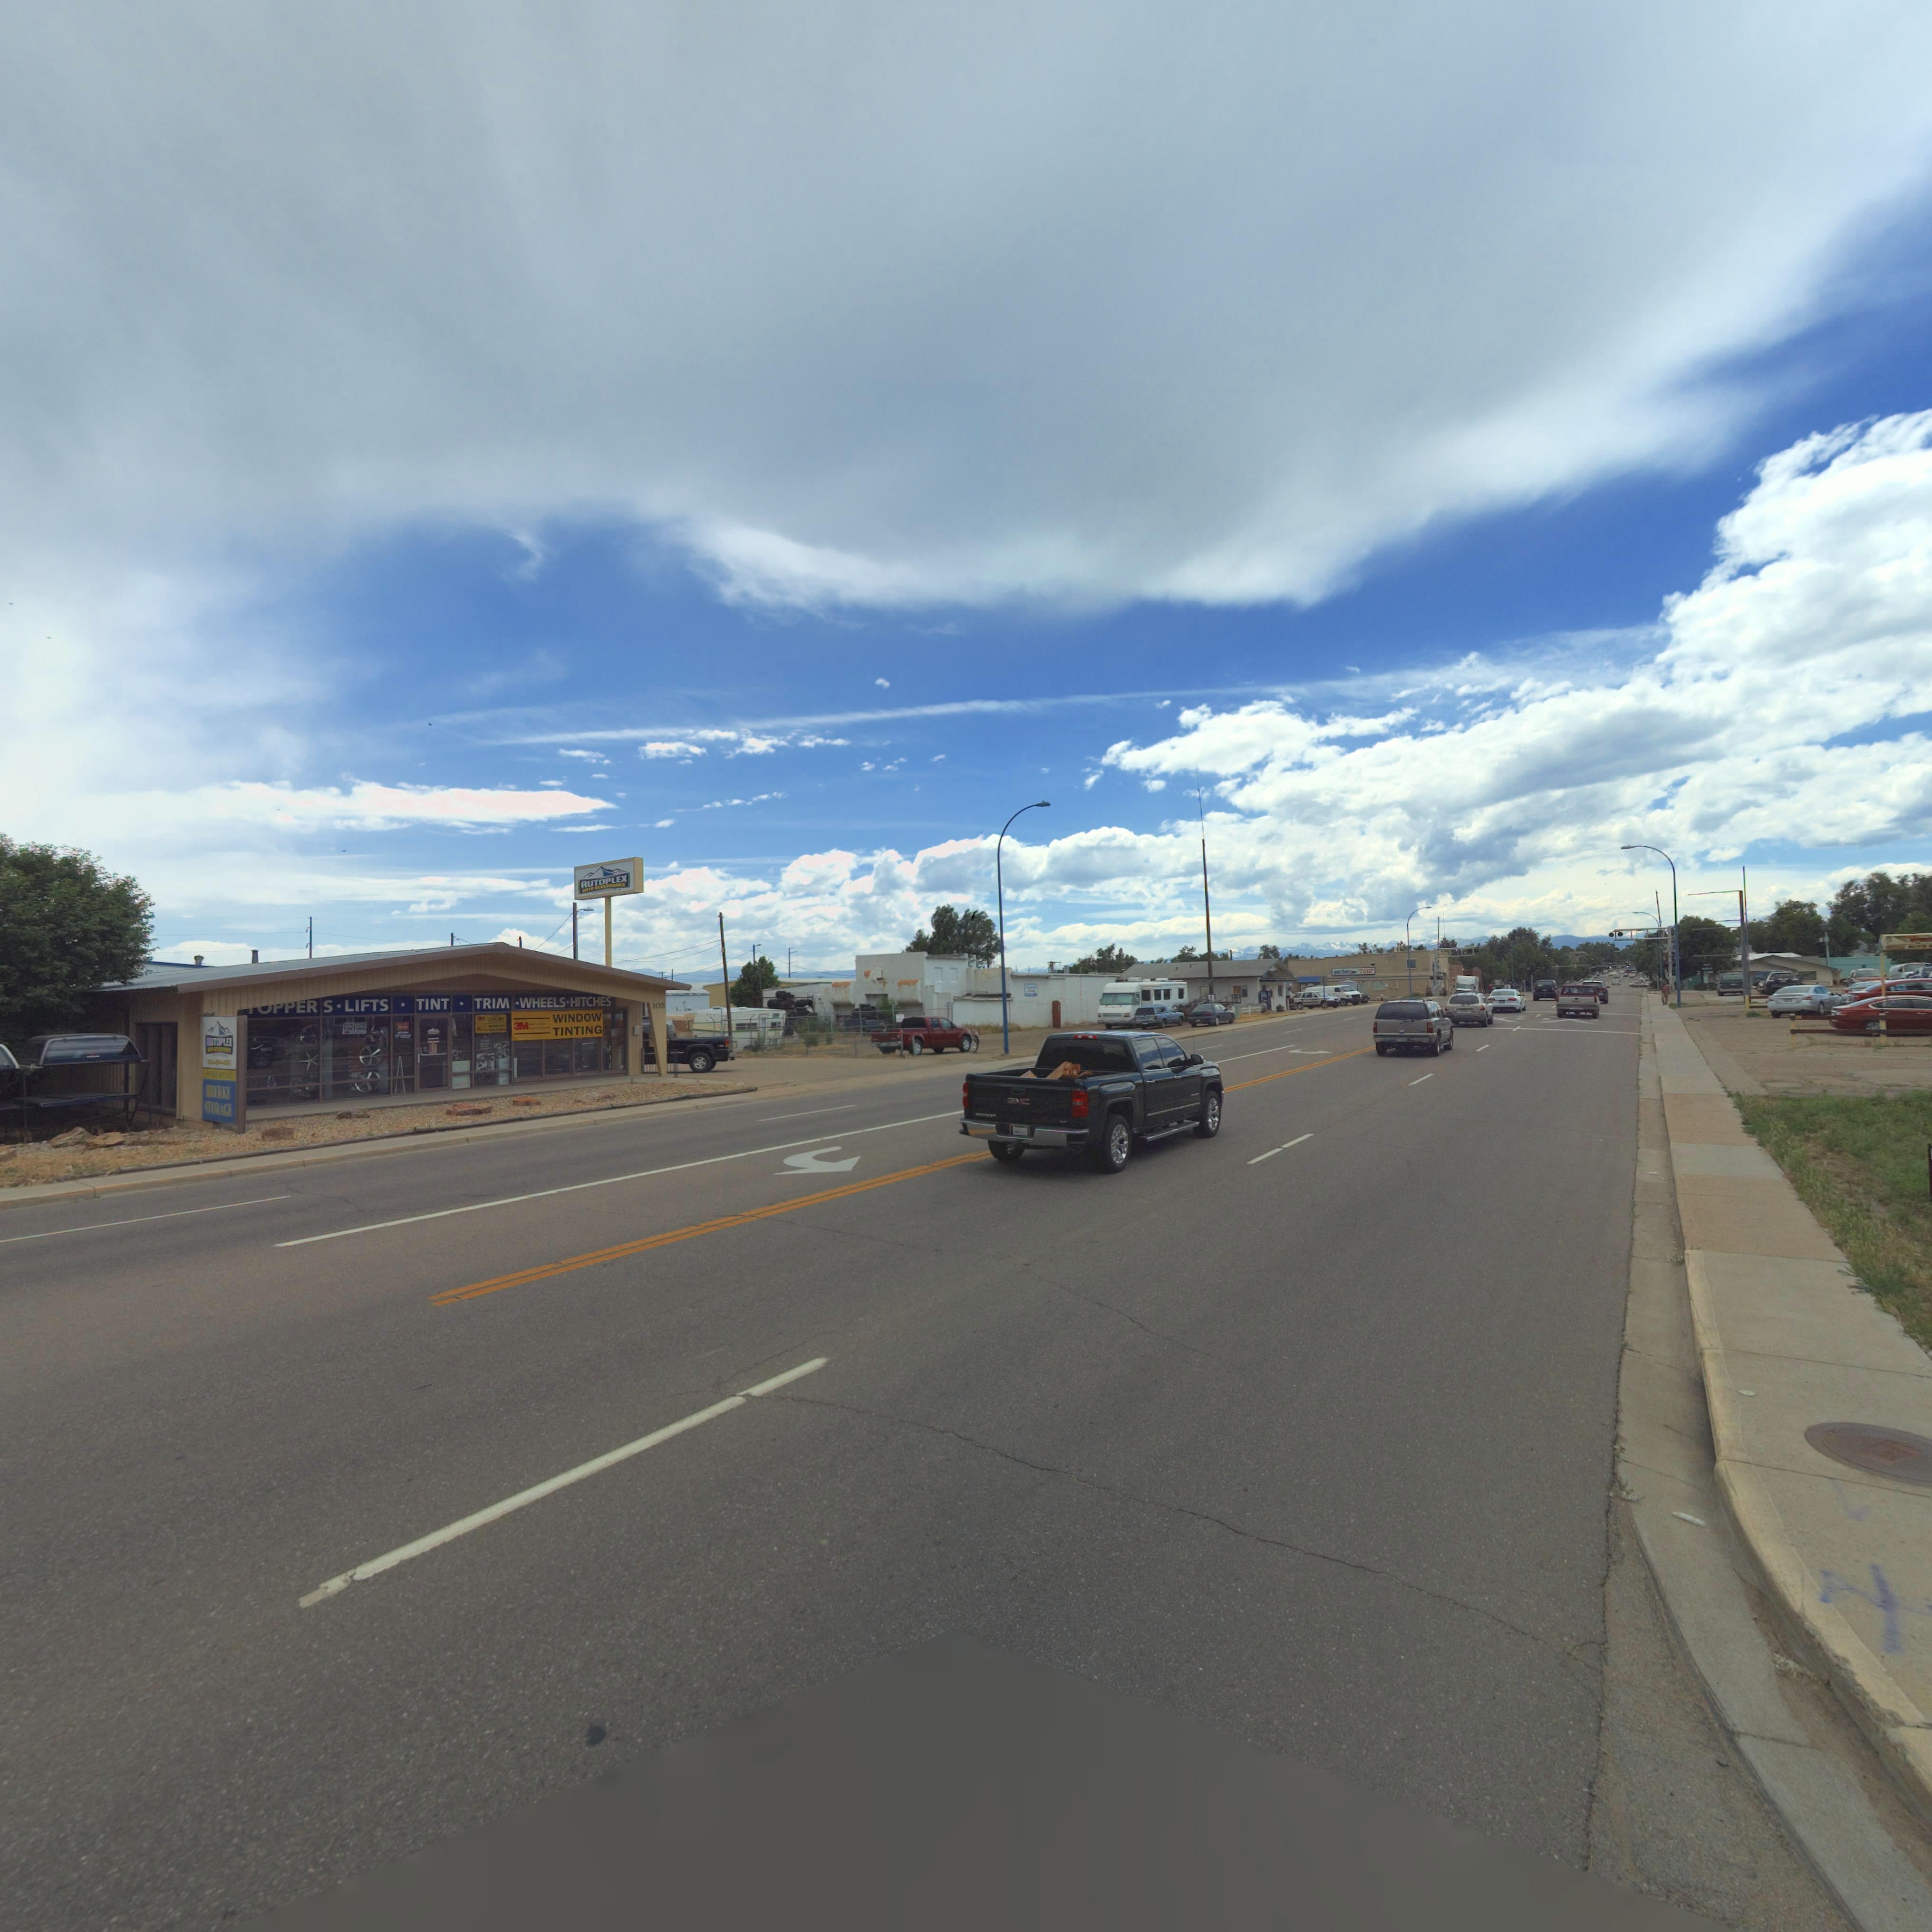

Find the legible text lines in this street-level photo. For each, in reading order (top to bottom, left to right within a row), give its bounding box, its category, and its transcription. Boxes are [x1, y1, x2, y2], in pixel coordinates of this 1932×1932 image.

[580, 874, 627, 889] BusinessName: AUTOPLEX
[582, 882, 625, 892] BusinessName: AUTO ACCESSORIES
[1333, 969, 1351, 975] BusinessName: gerber
[1358, 968, 1373, 972] BusinessName: COLLISION
[1360, 971, 1372, 974] BusinessName: & GLASS
[652, 1002, 665, 1009] BusinessName: 105
[206, 1036, 232, 1048] BusinessName: AUTOPLEX
[207, 1046, 231, 1053] StreetName: AUTO ACCESSORIES
[205, 1084, 232, 1100] BusinessName: BREKKE